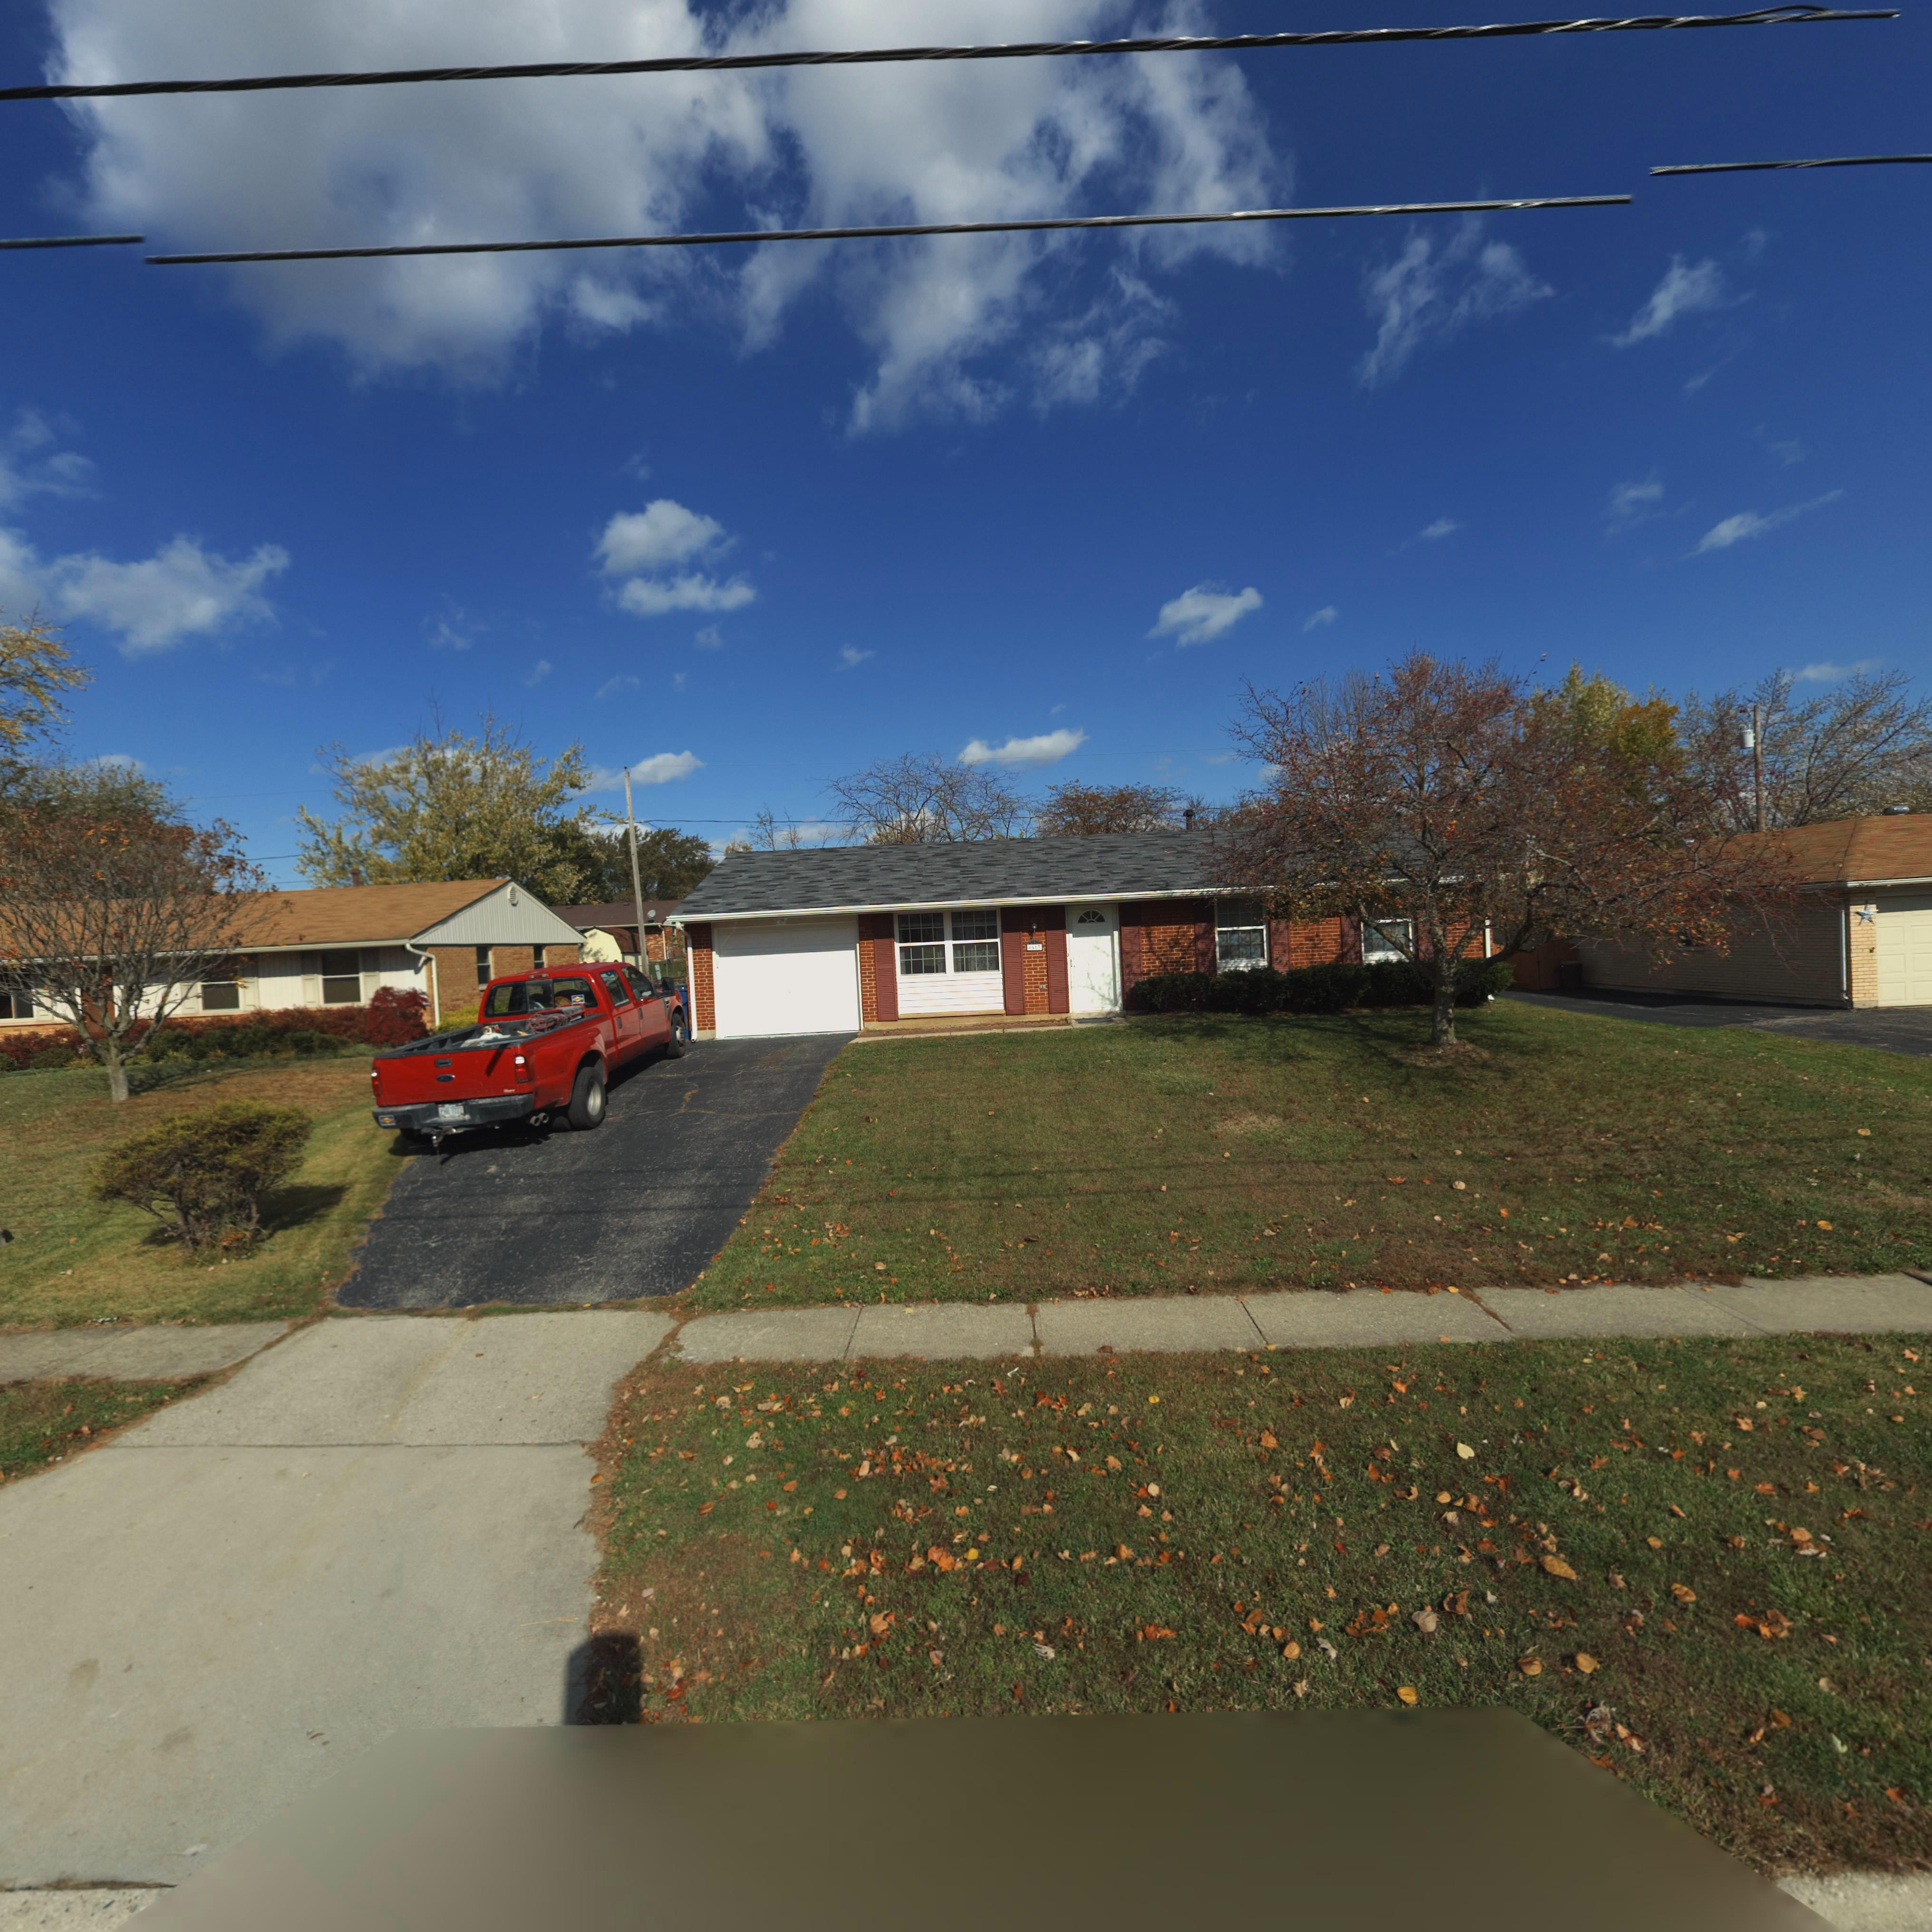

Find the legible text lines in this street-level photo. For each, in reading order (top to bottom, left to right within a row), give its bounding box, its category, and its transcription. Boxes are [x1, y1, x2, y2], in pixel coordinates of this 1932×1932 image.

[1028, 945, 1041, 950] StreetNumber: 661*